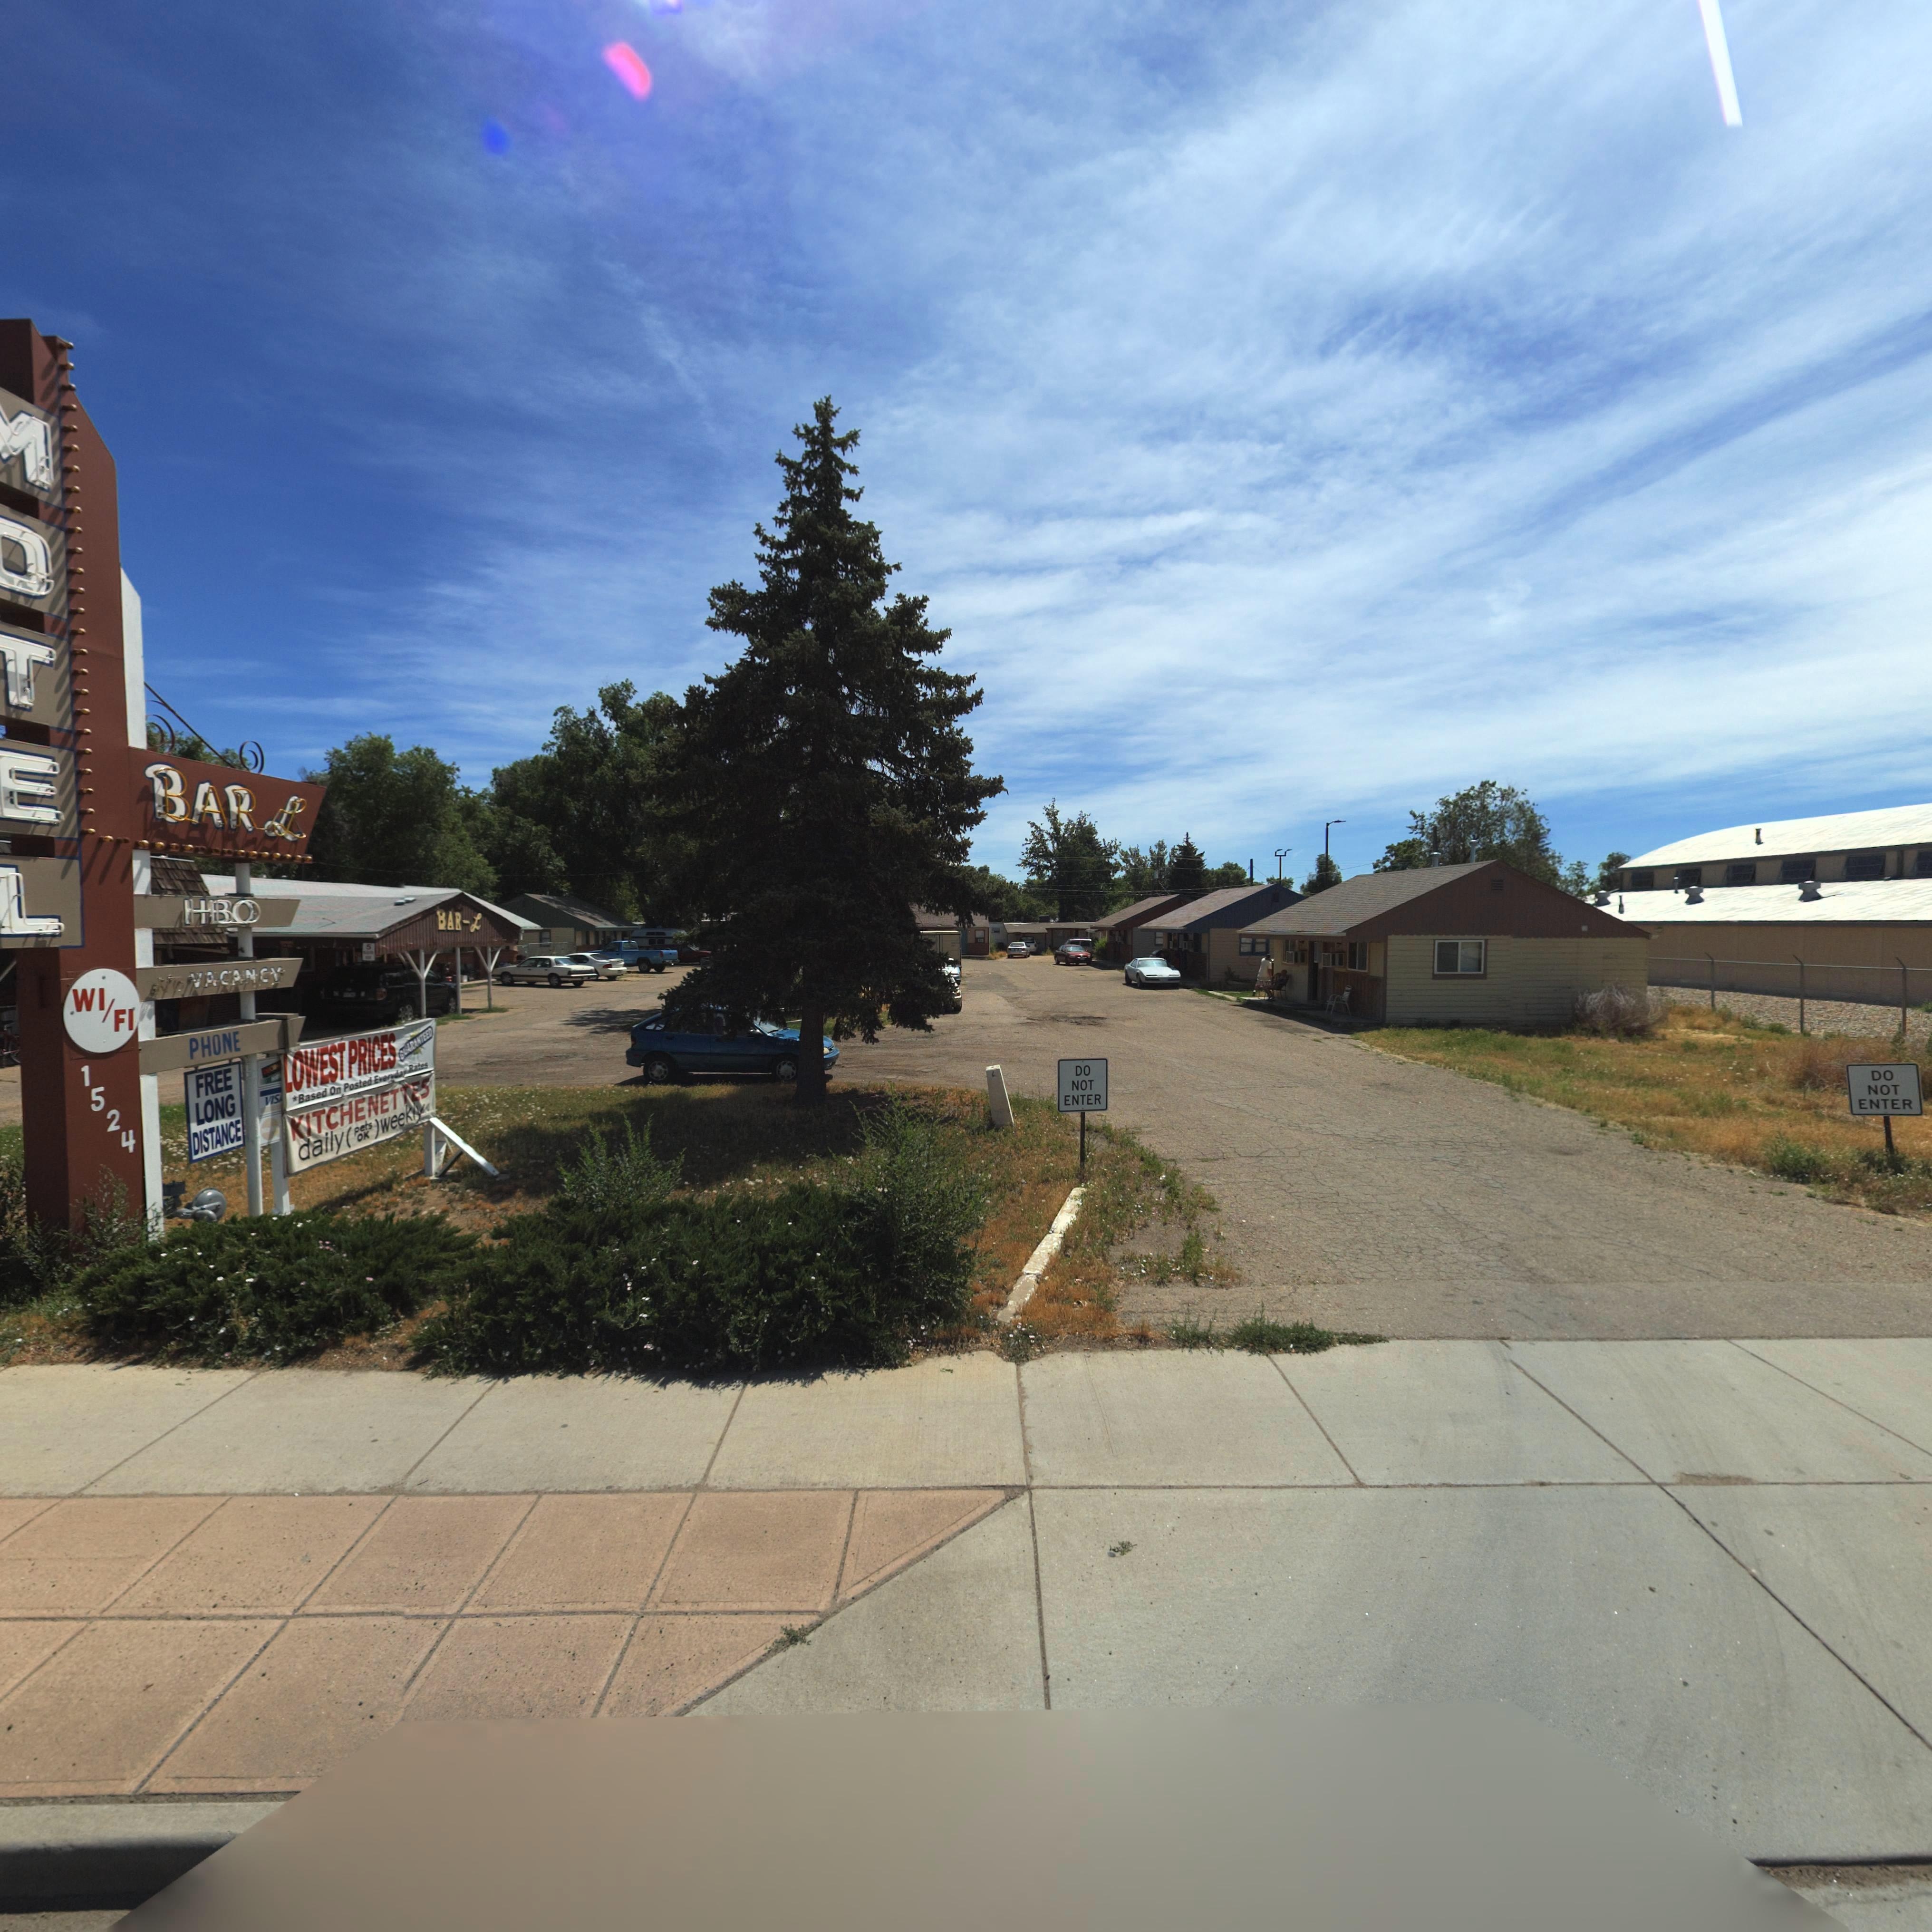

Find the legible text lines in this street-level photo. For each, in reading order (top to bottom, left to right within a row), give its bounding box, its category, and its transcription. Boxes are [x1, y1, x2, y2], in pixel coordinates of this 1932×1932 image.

[142, 760, 304, 842] BusinessName: BAR L
[436, 908, 482, 933] BusinessName: BAR-L
[79, 1063, 135, 1154] StreetNumber: 1524